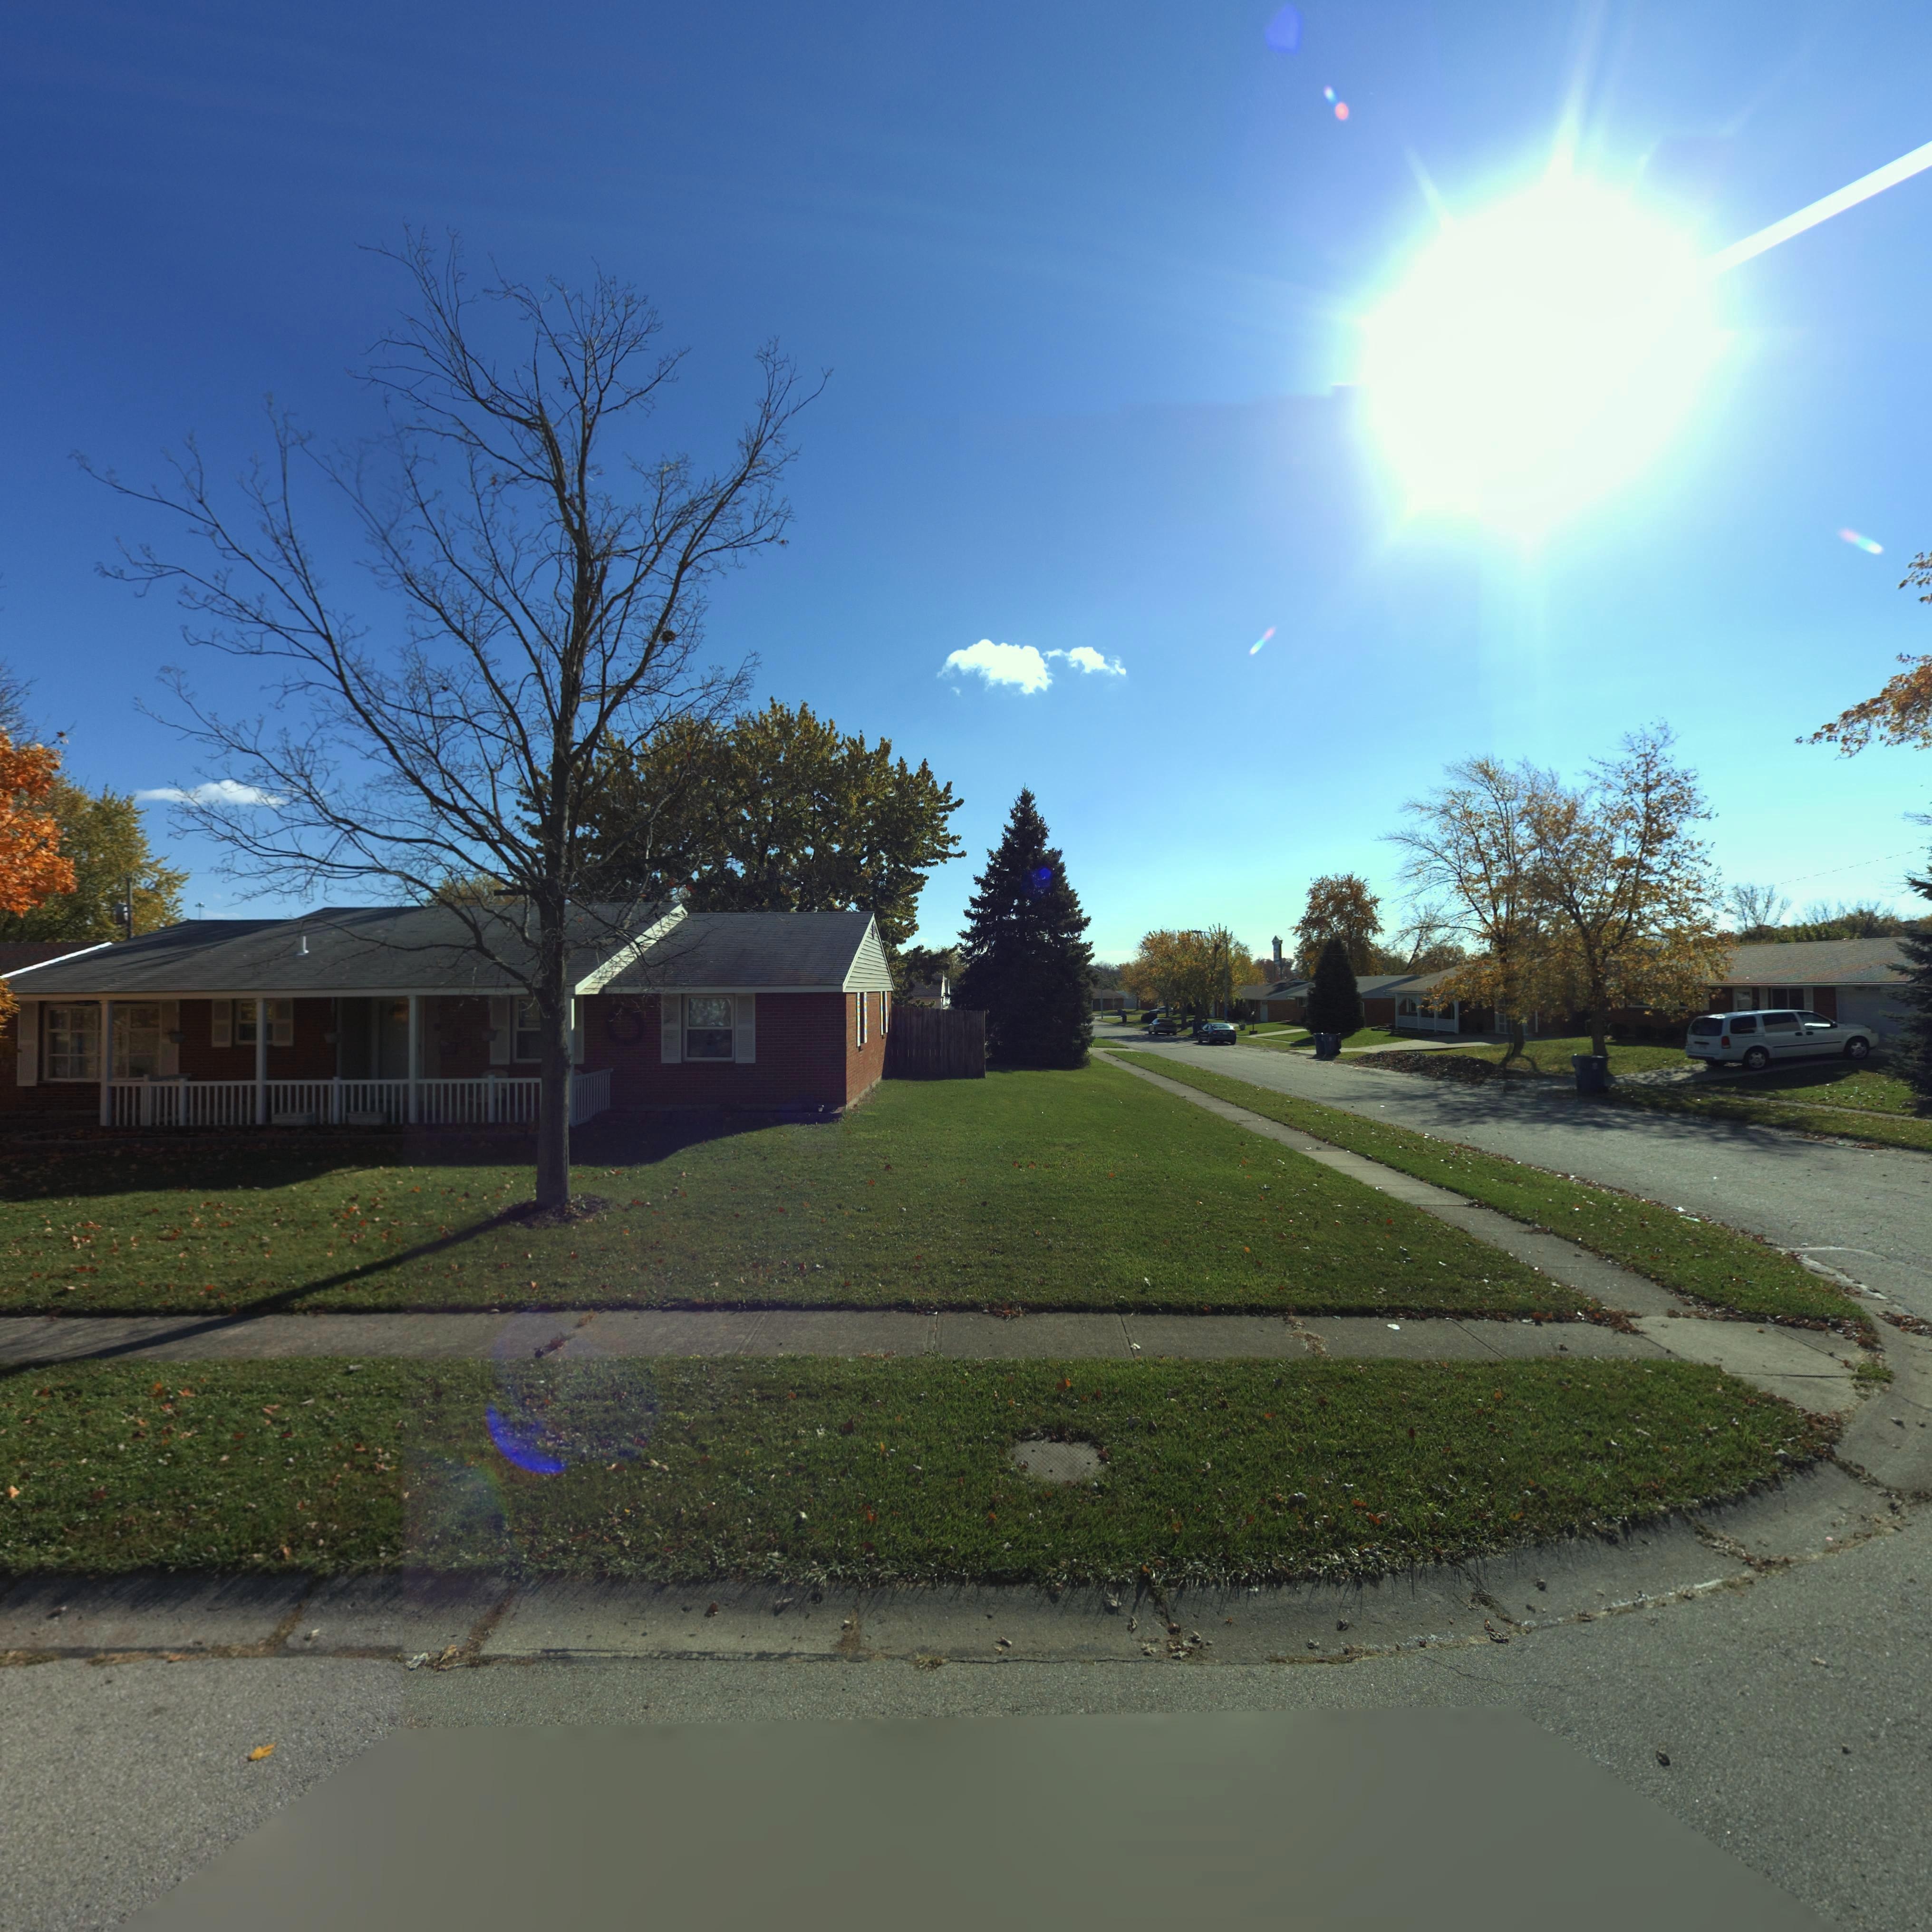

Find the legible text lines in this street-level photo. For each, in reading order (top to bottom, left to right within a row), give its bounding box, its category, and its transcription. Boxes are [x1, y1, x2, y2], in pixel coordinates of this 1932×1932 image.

[444, 1019, 481, 1060] StreetNumber: 780*